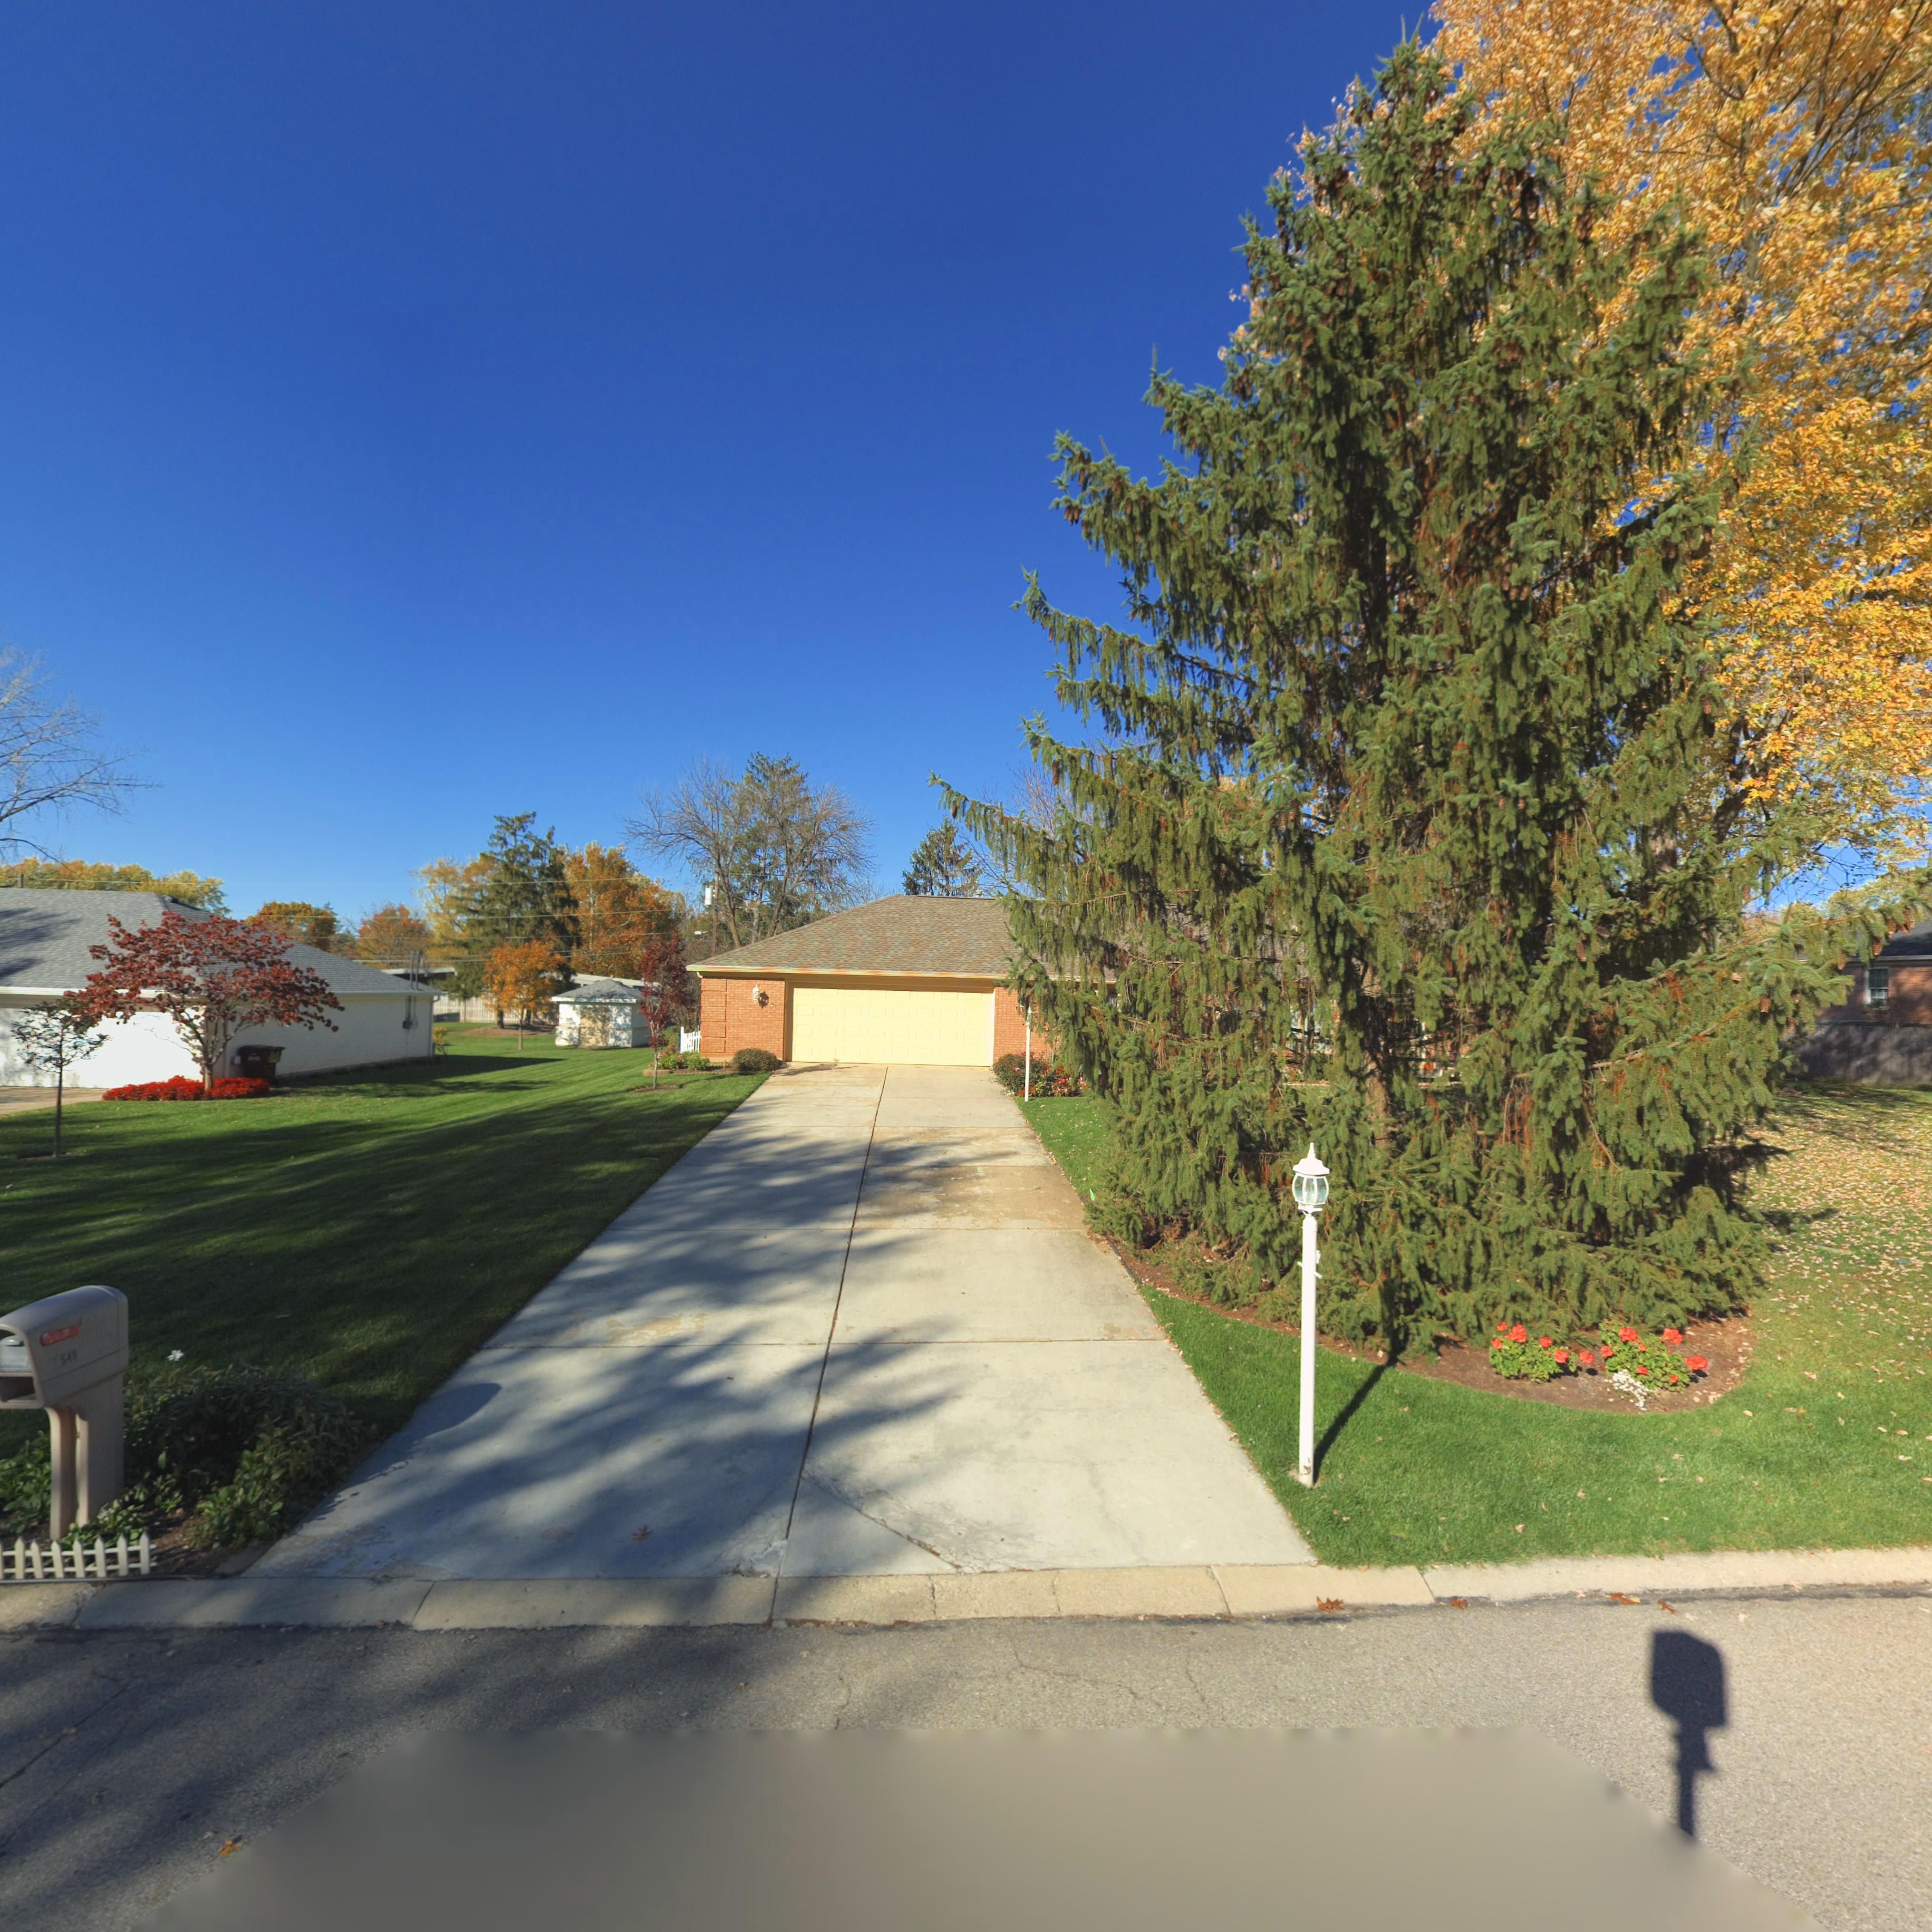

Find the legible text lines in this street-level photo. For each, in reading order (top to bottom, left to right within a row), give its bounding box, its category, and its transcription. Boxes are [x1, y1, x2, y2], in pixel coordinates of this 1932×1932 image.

[59, 1348, 78, 1366] StreetNumber: 540